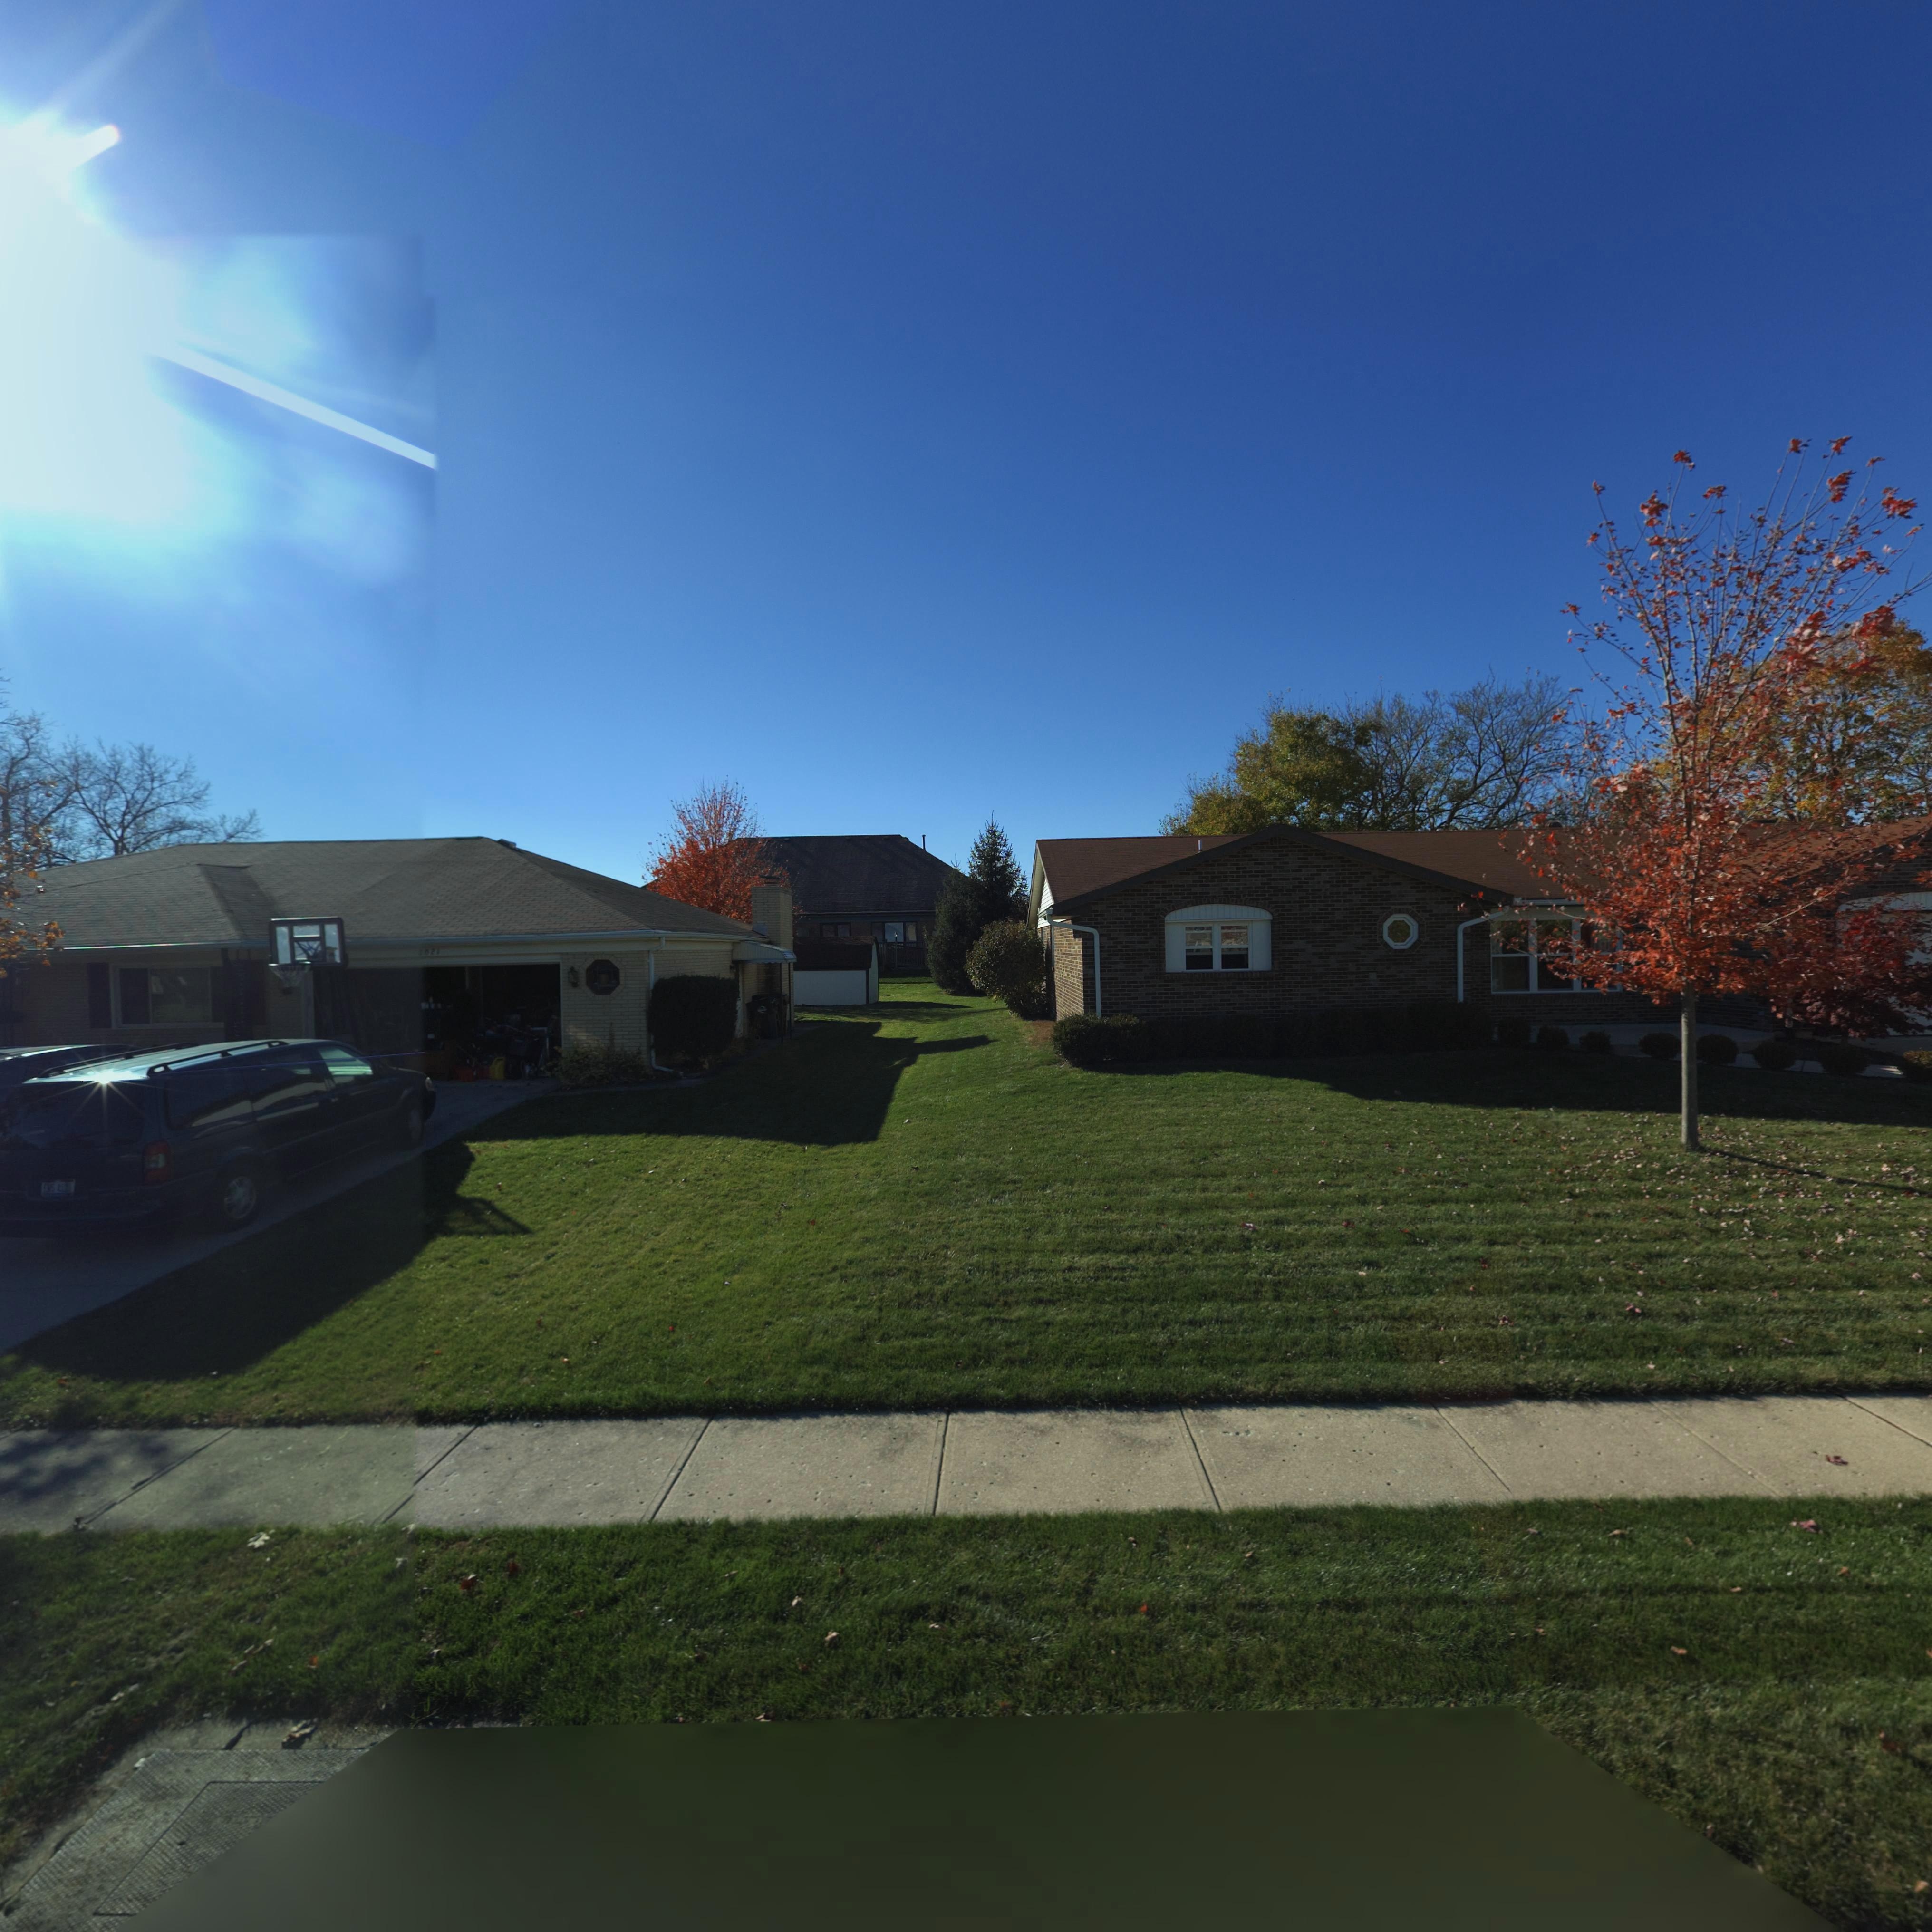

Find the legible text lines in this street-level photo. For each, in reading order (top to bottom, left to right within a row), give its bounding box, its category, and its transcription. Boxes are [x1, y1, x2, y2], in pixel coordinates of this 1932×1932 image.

[416, 947, 441, 956] StreetNumber: 7021